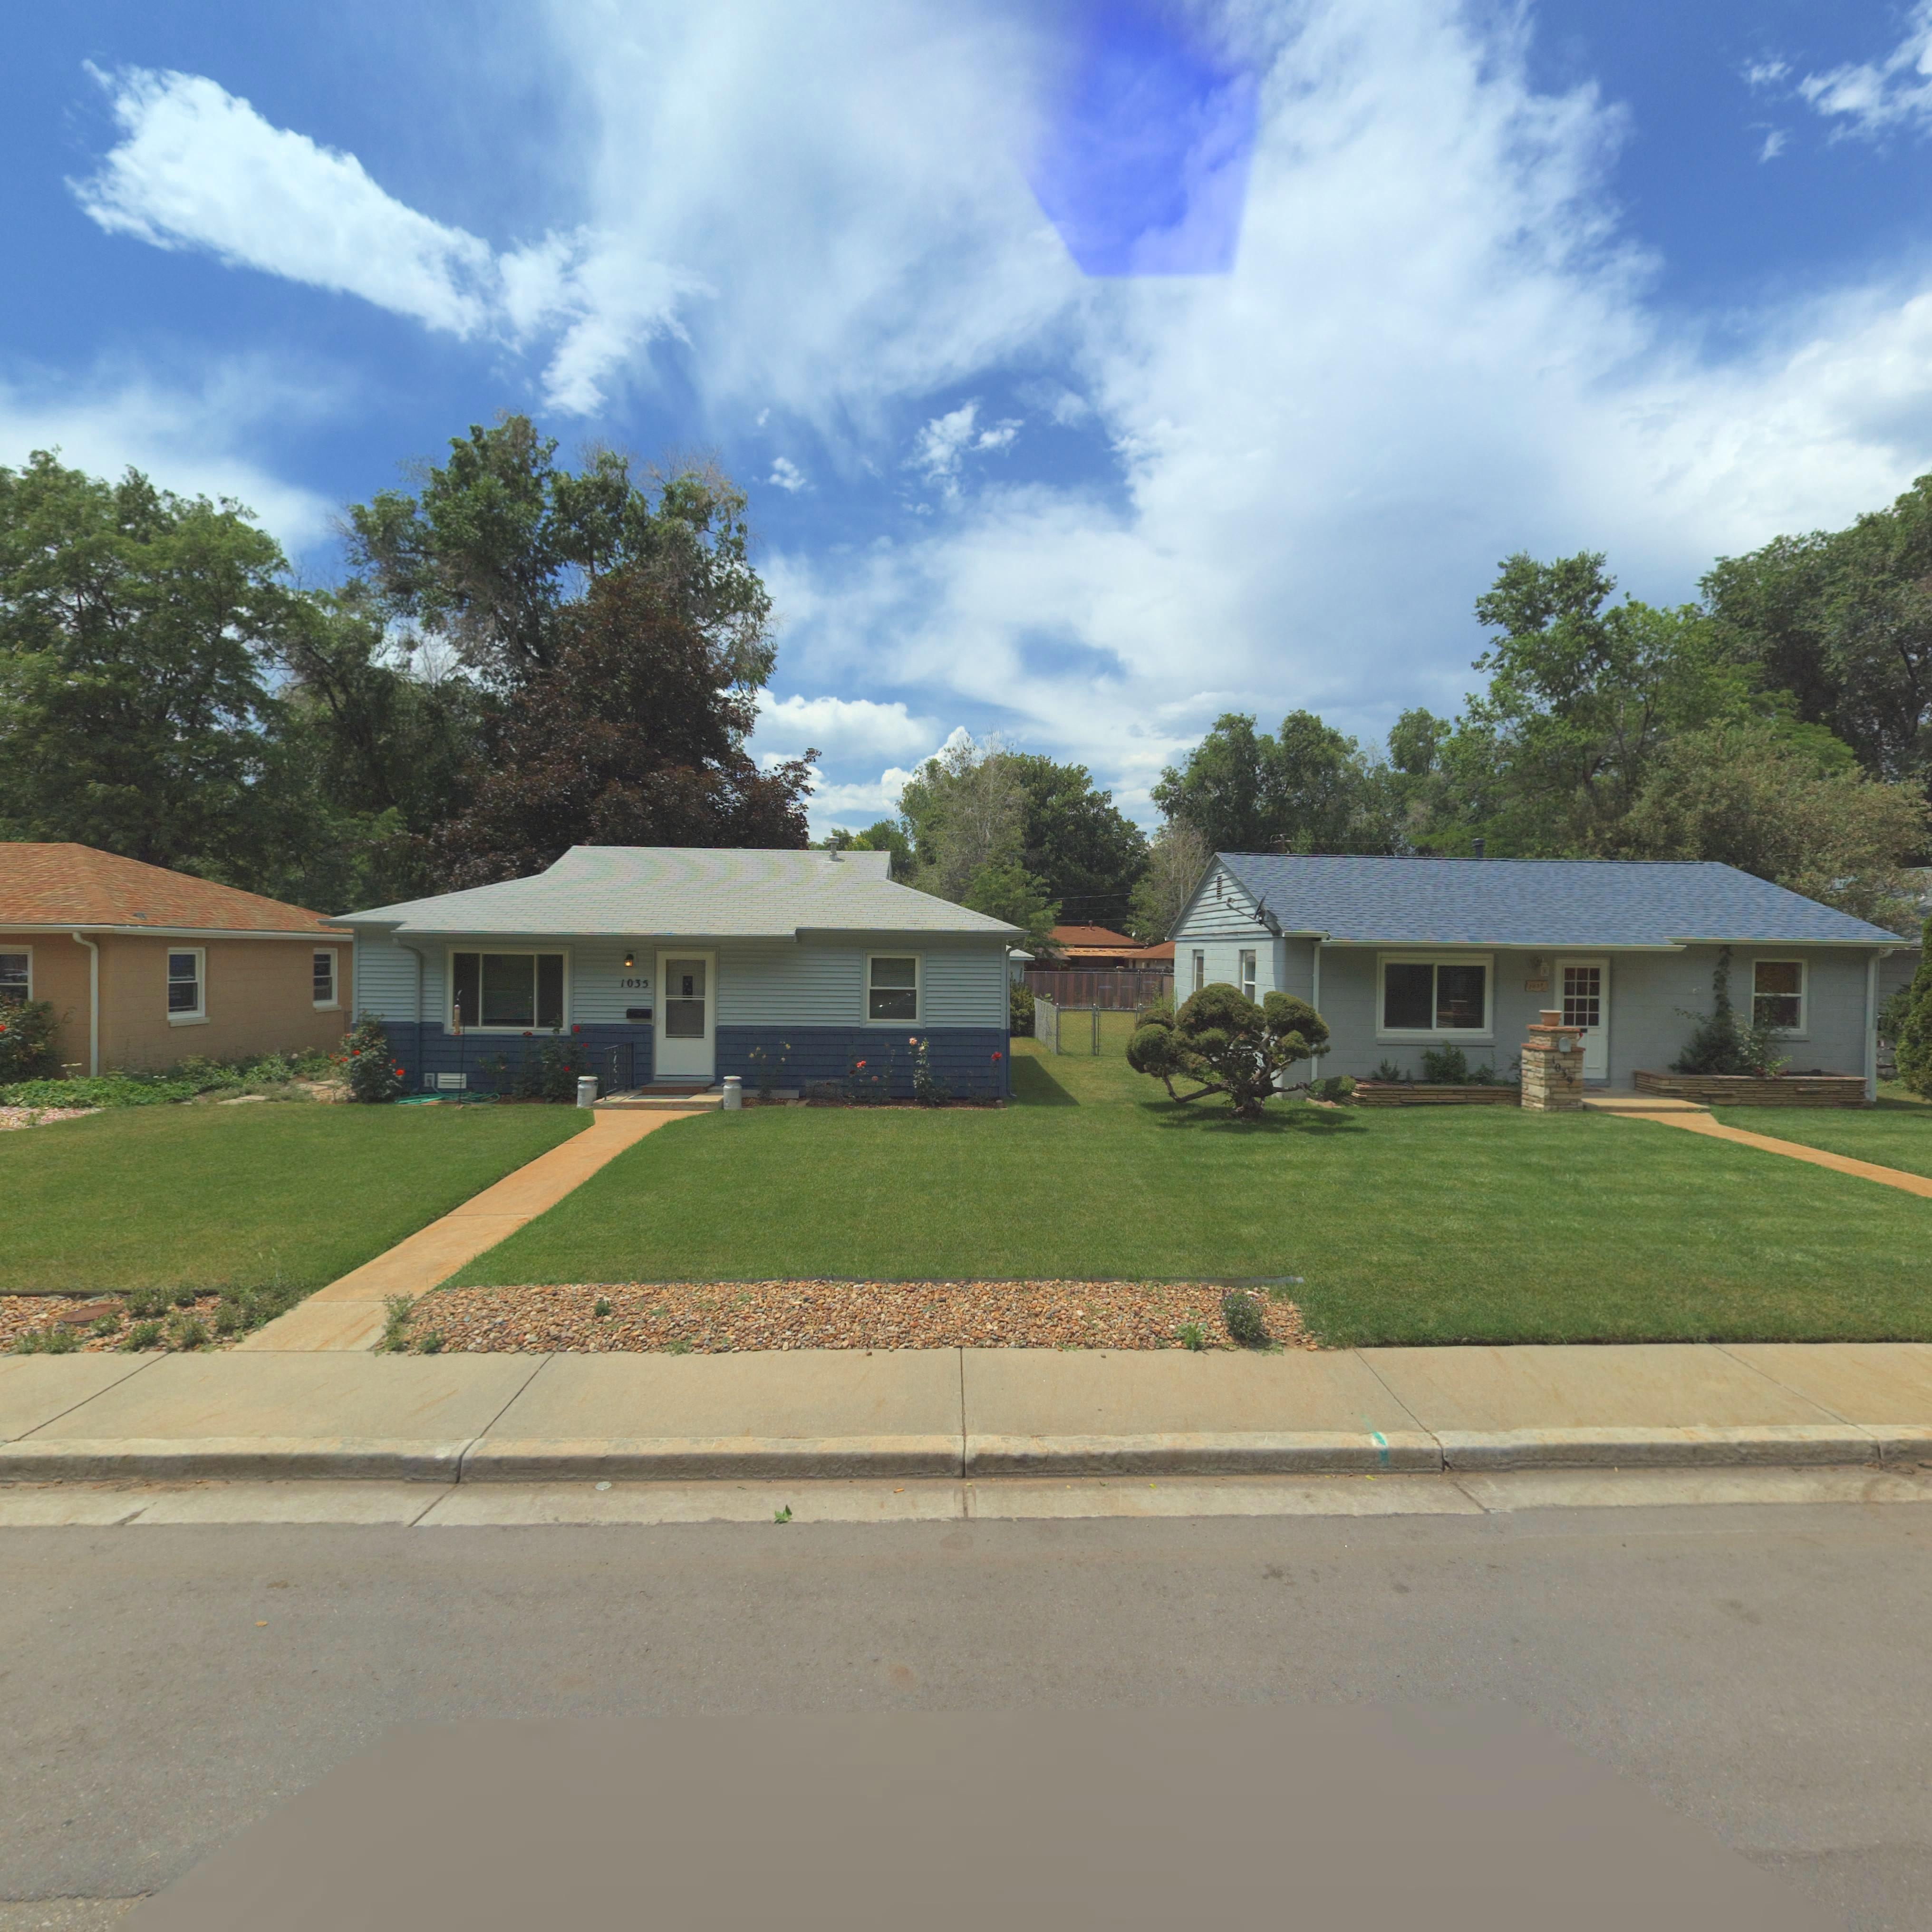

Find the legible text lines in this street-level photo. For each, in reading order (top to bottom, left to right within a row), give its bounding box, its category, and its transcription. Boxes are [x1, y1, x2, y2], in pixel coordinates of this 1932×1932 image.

[620, 978, 648, 988] StreetNumber: 1035
[1528, 982, 1543, 990] StreetNumber: 1***
[1552, 1055, 1573, 1085] StreetNumber: 1039